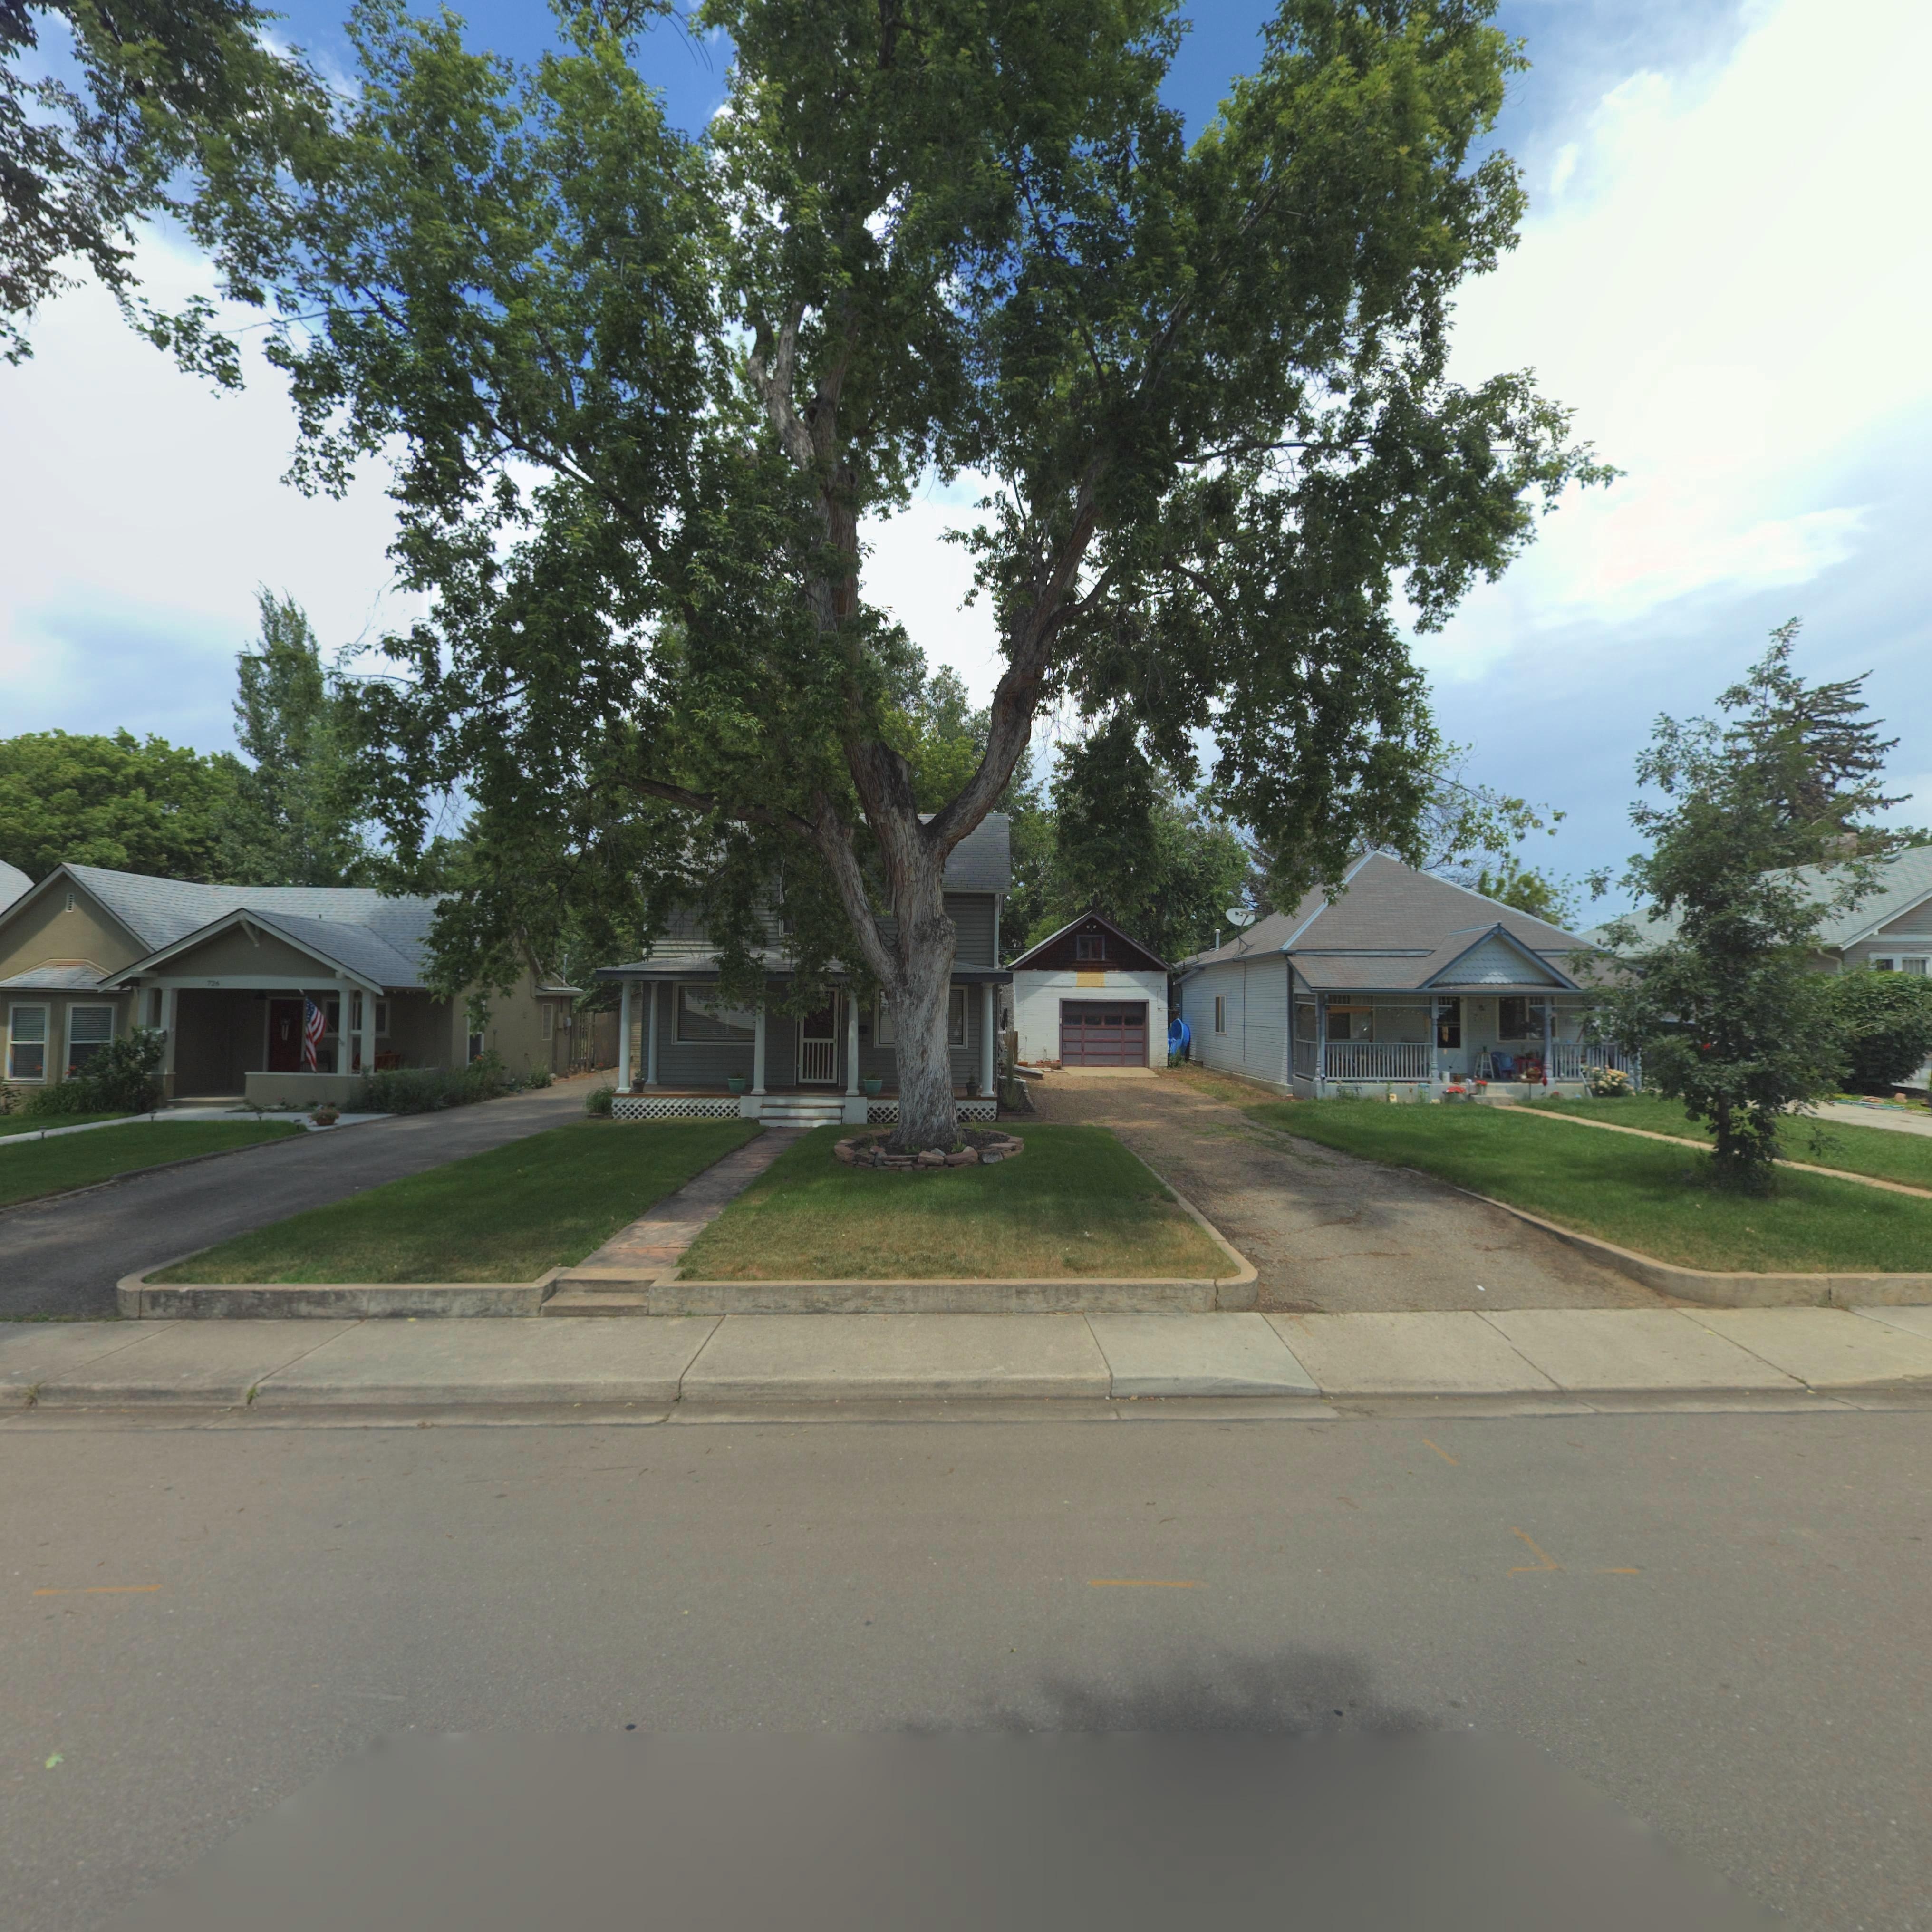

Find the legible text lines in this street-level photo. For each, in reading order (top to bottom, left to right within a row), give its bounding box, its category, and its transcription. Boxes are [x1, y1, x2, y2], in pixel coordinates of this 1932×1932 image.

[207, 980, 220, 986] StreetNumber: 72*
[1472, 1012, 1491, 1022] StreetNumber: 7**